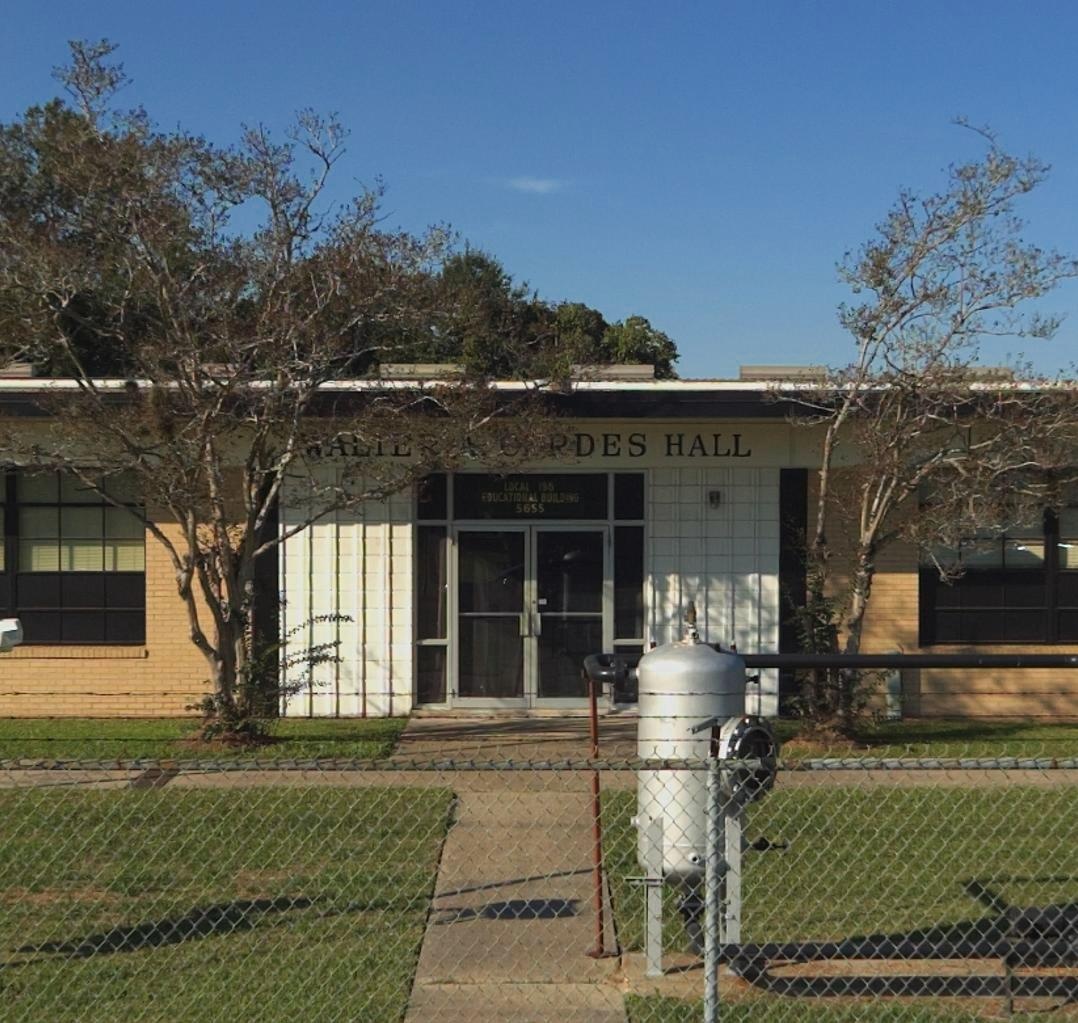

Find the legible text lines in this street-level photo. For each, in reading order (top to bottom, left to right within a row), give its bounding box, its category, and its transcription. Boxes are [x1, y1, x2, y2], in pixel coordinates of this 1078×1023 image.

[572, 432, 752, 458] BusinessName: DES HALL
[503, 481, 555, 492] BusinessName: LOCAL 198
[480, 491, 580, 504] BusinessName: EDUCATIONAL BUILDING
[515, 503, 545, 514] StreetNumber: 5655